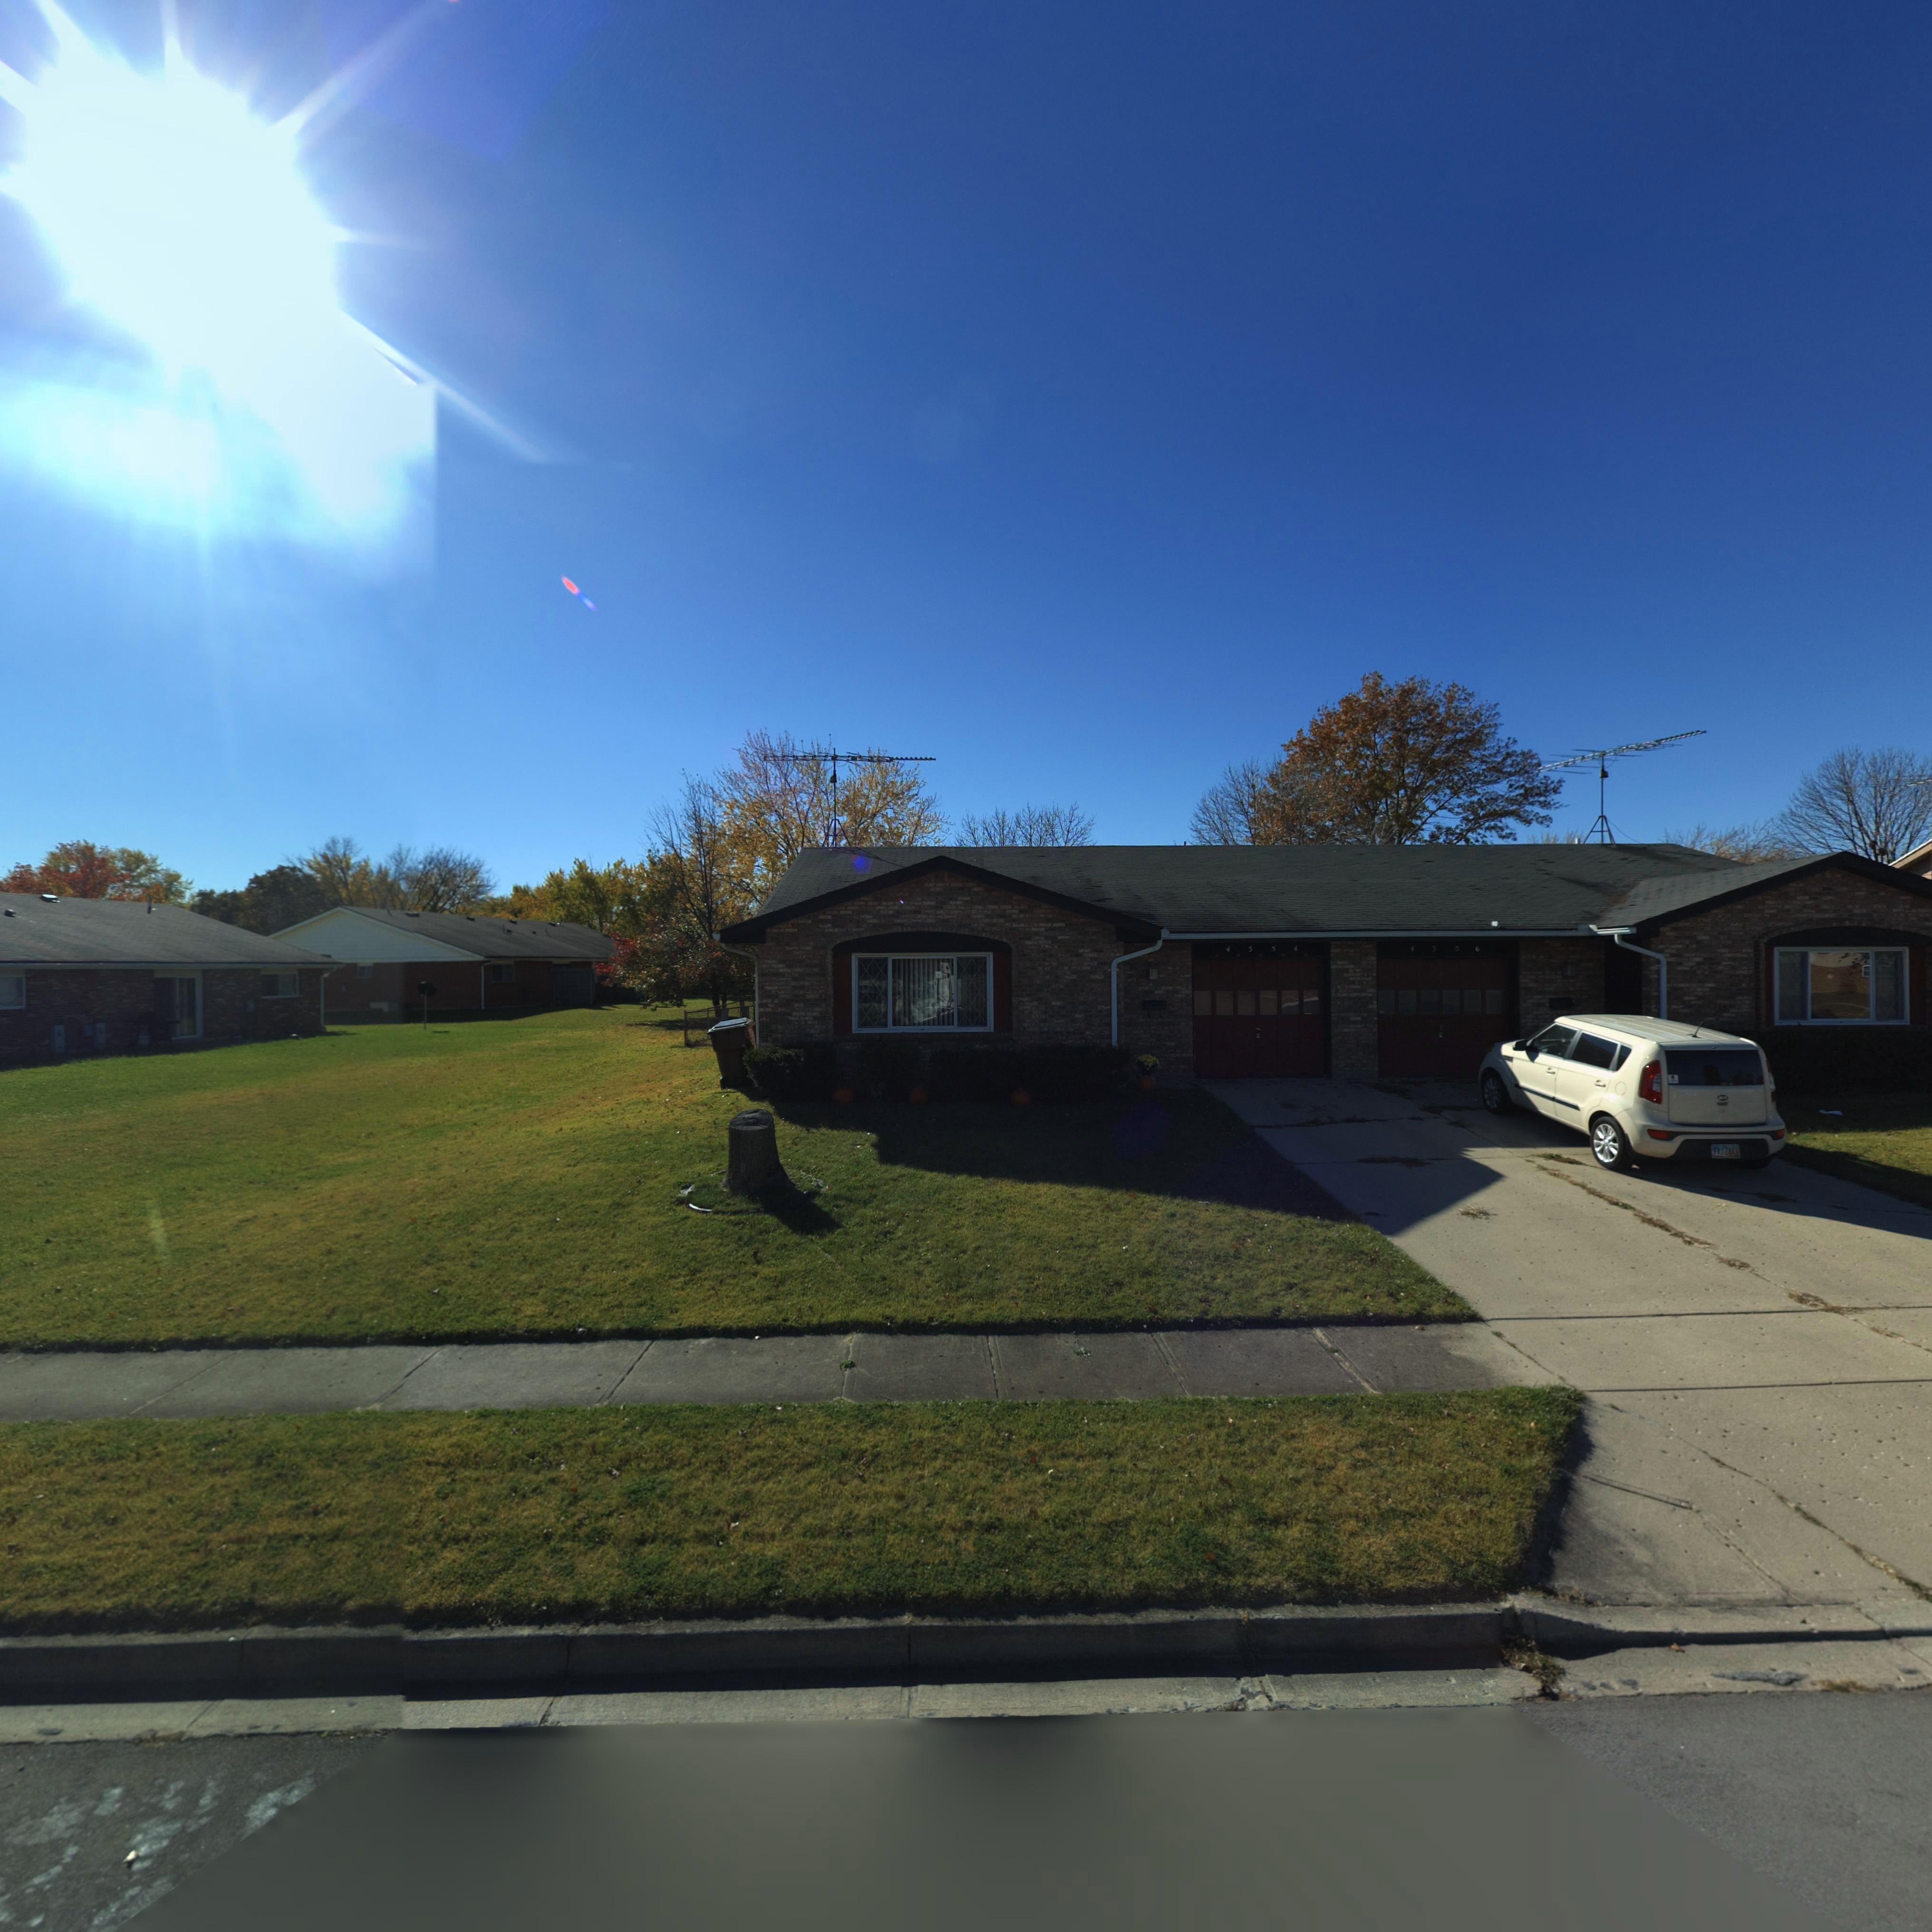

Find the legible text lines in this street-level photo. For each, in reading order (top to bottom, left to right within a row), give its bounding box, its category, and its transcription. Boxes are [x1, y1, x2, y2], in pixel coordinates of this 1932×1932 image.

[1225, 945, 1298, 953] StreetNumber: 4354
[1409, 945, 1481, 952] StreetNumber: 4356